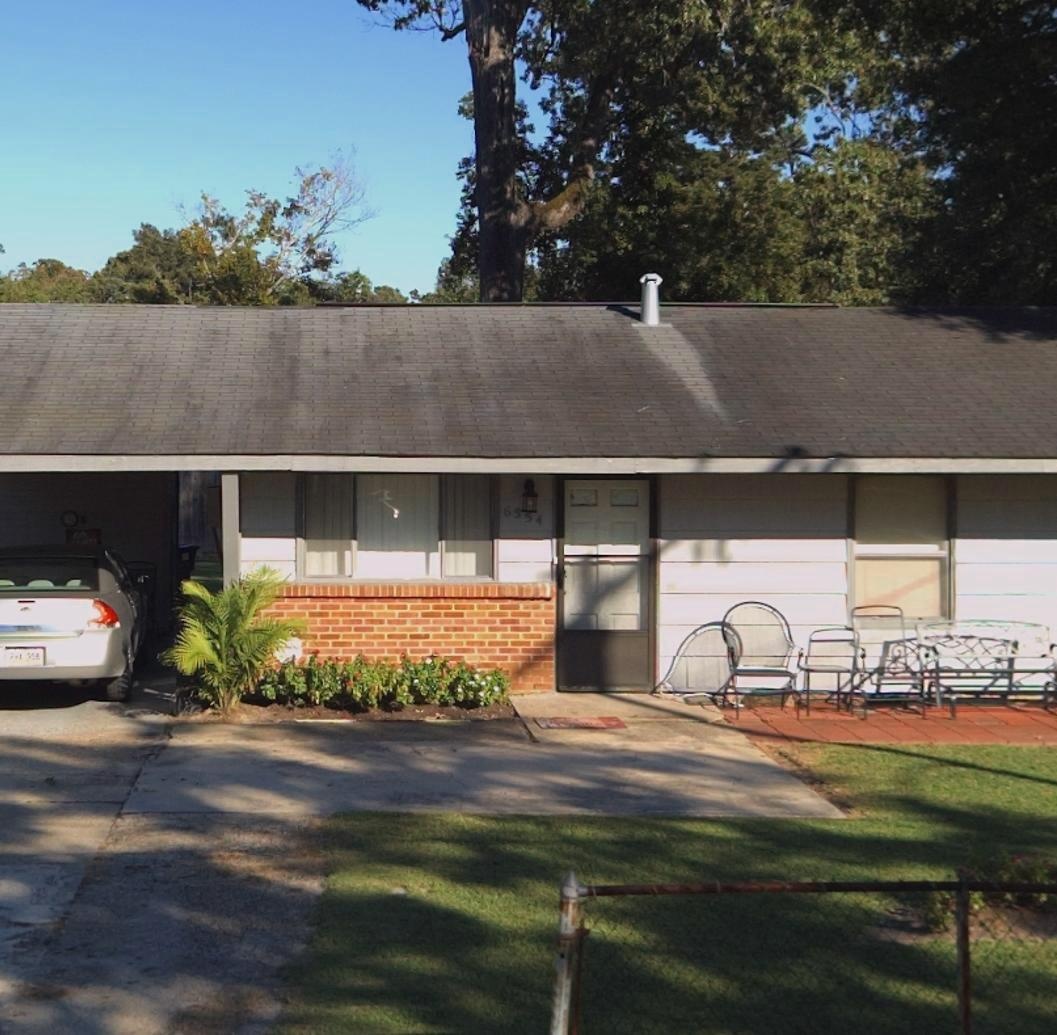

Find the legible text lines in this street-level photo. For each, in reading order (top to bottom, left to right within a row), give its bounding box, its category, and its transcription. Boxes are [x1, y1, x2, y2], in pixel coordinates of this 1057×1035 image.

[501, 503, 544, 528] StreetNumber: 6334